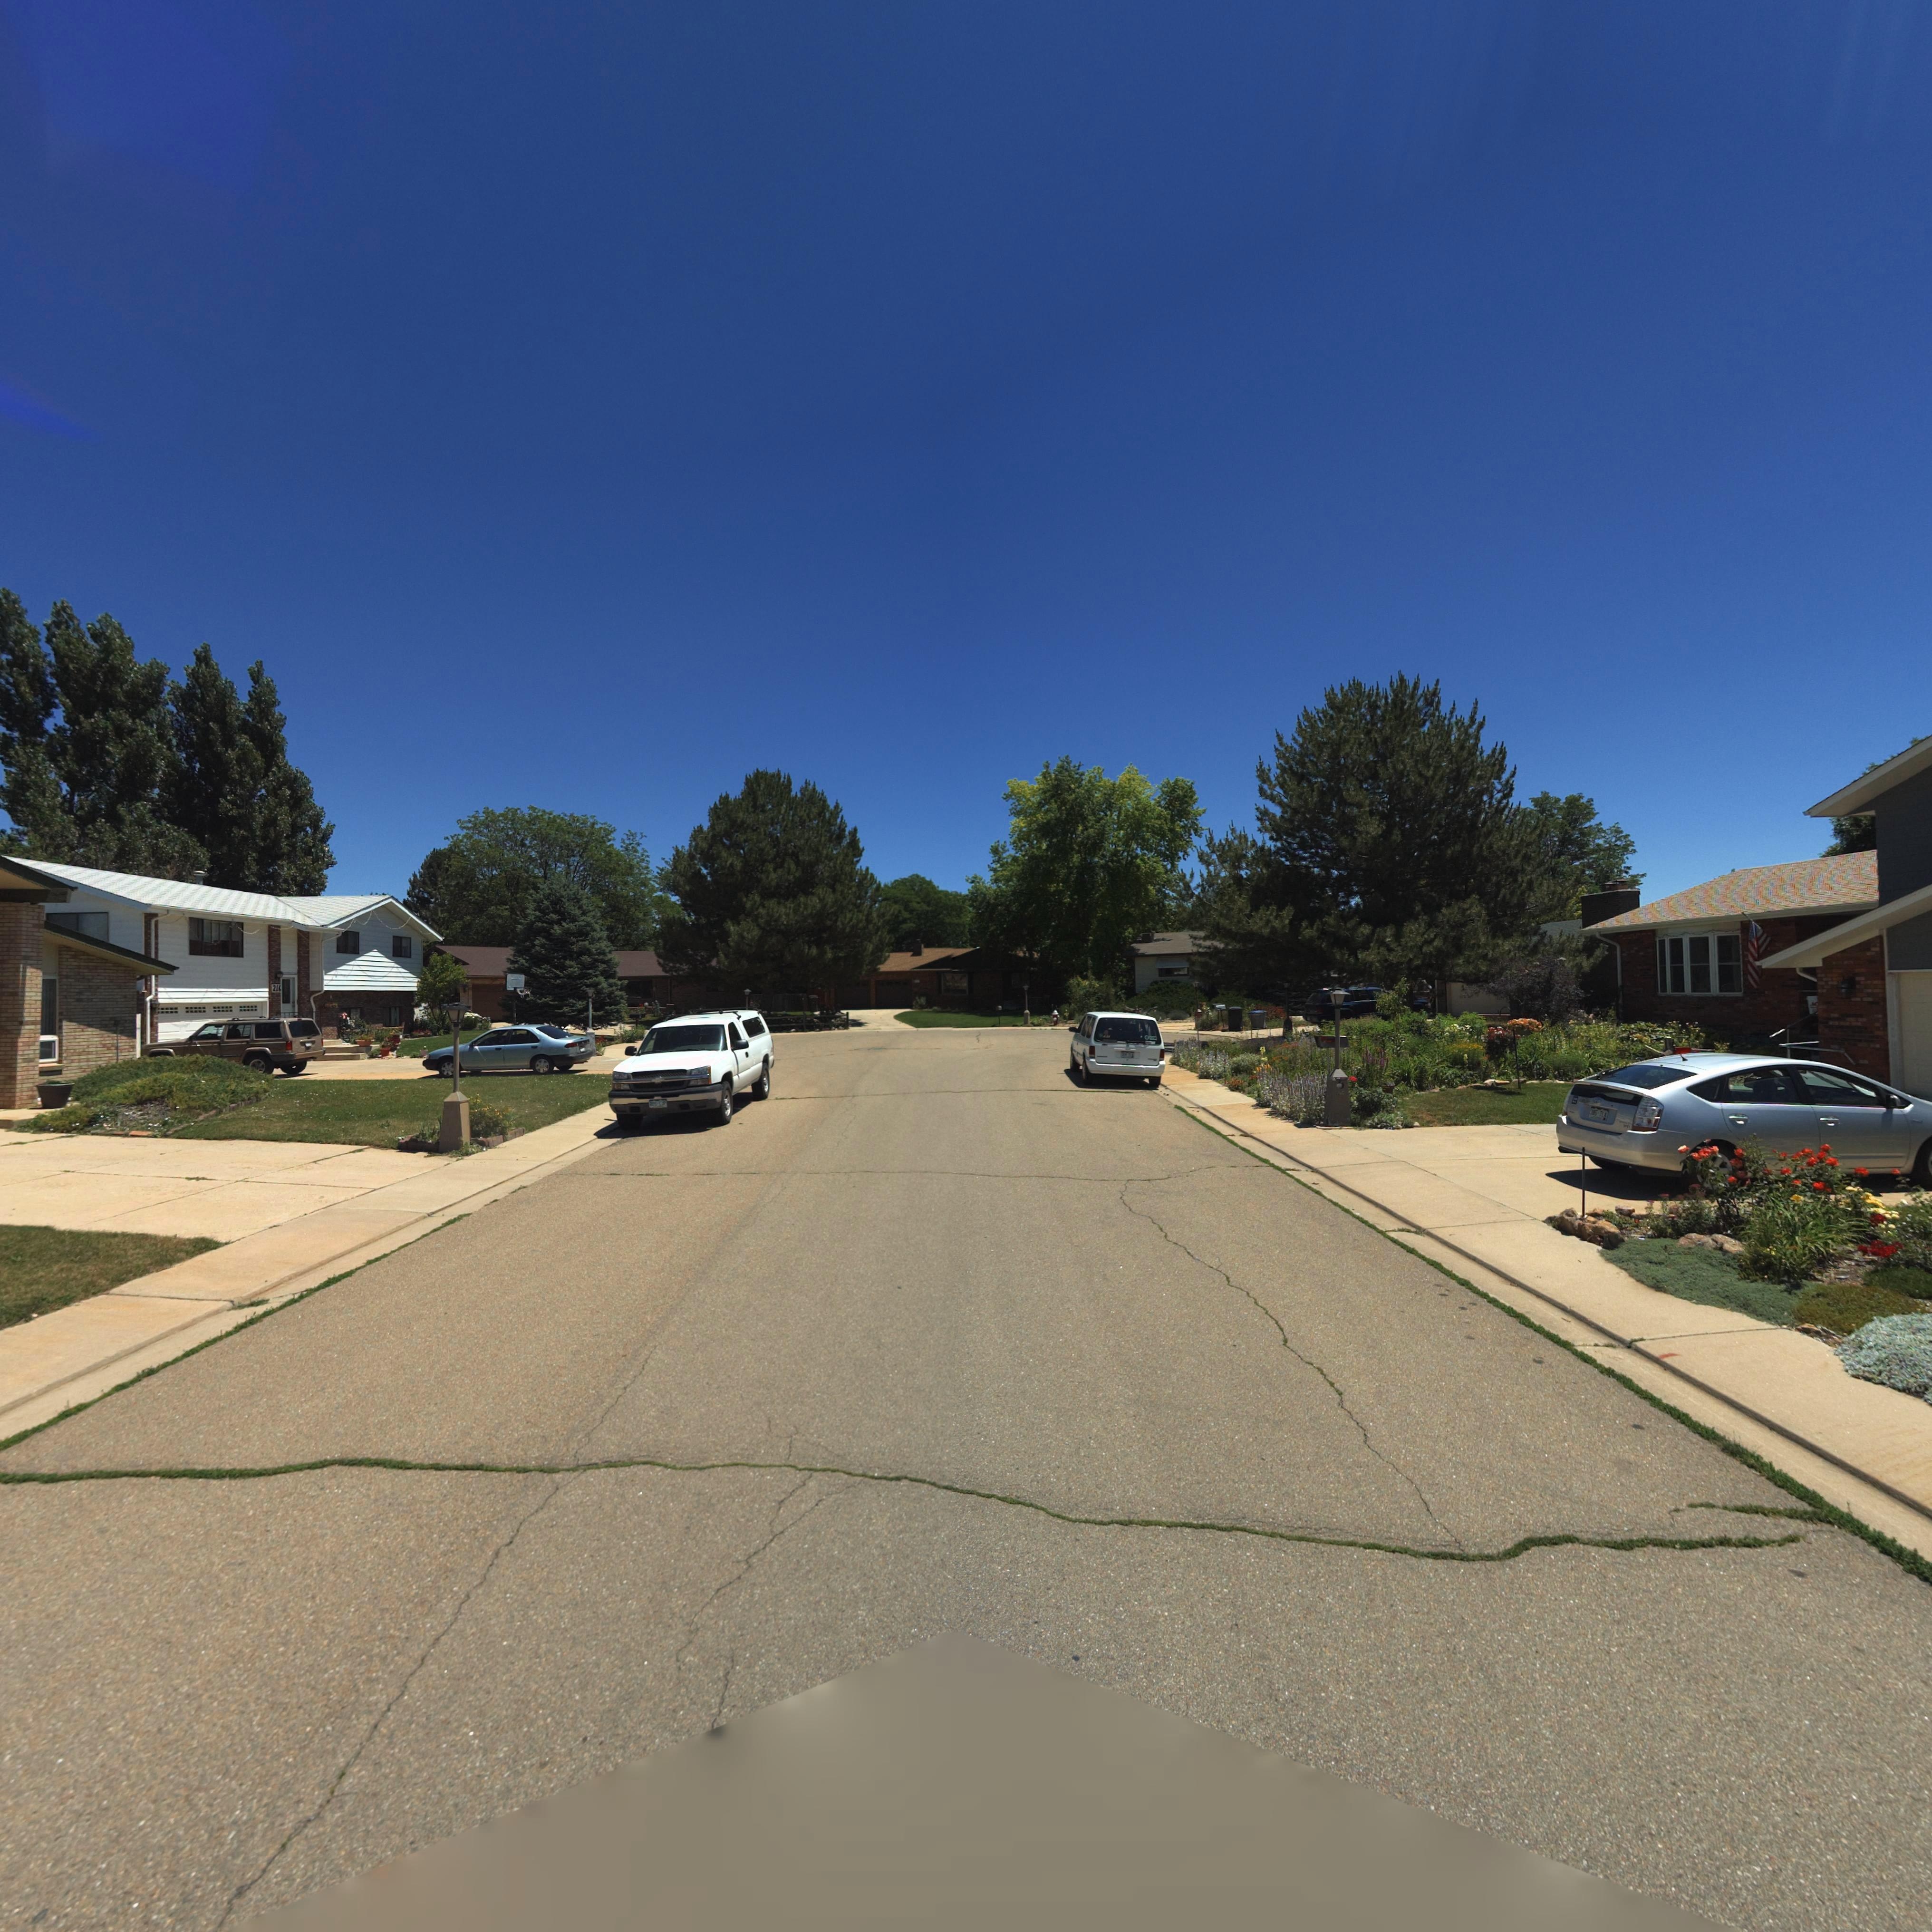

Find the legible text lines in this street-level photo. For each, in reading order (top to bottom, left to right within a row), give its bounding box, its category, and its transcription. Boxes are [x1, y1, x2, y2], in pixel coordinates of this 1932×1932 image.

[272, 985, 281, 991] StreetNumber: 216